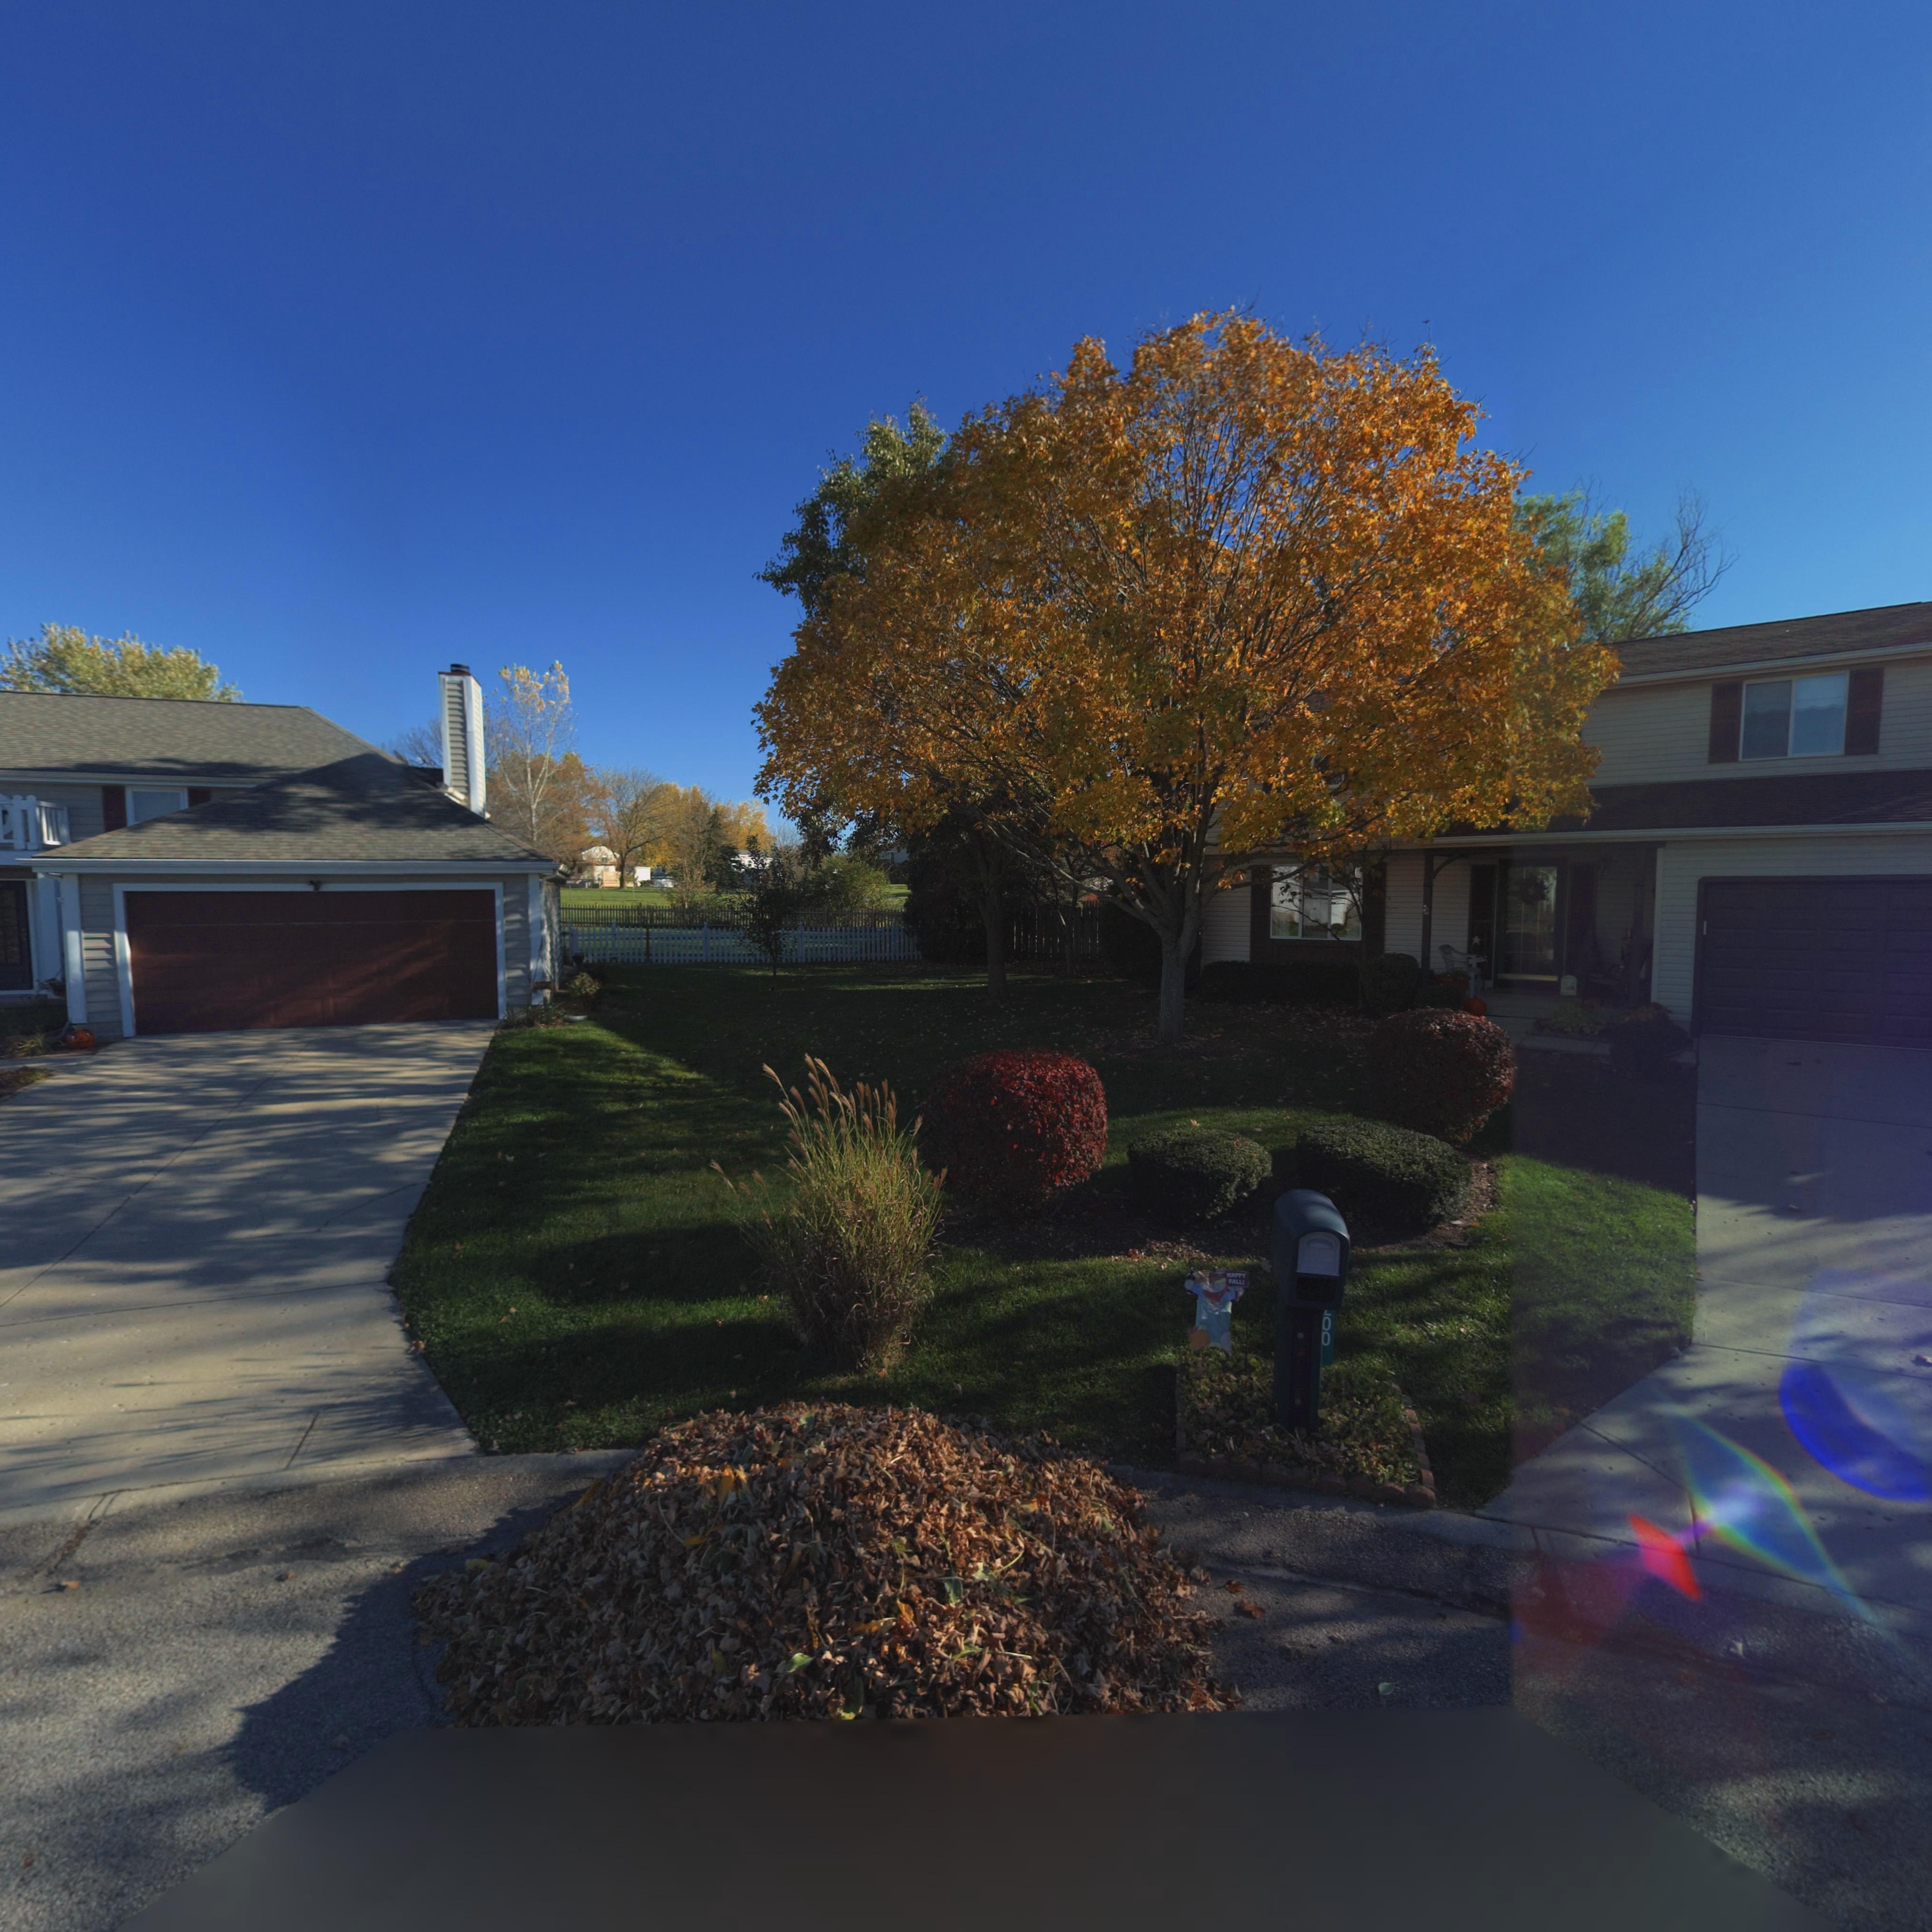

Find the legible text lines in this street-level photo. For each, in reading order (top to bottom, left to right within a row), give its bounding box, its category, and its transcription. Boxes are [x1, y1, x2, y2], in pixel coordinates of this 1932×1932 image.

[1321, 1315, 1333, 1347] StreetNumber: 00